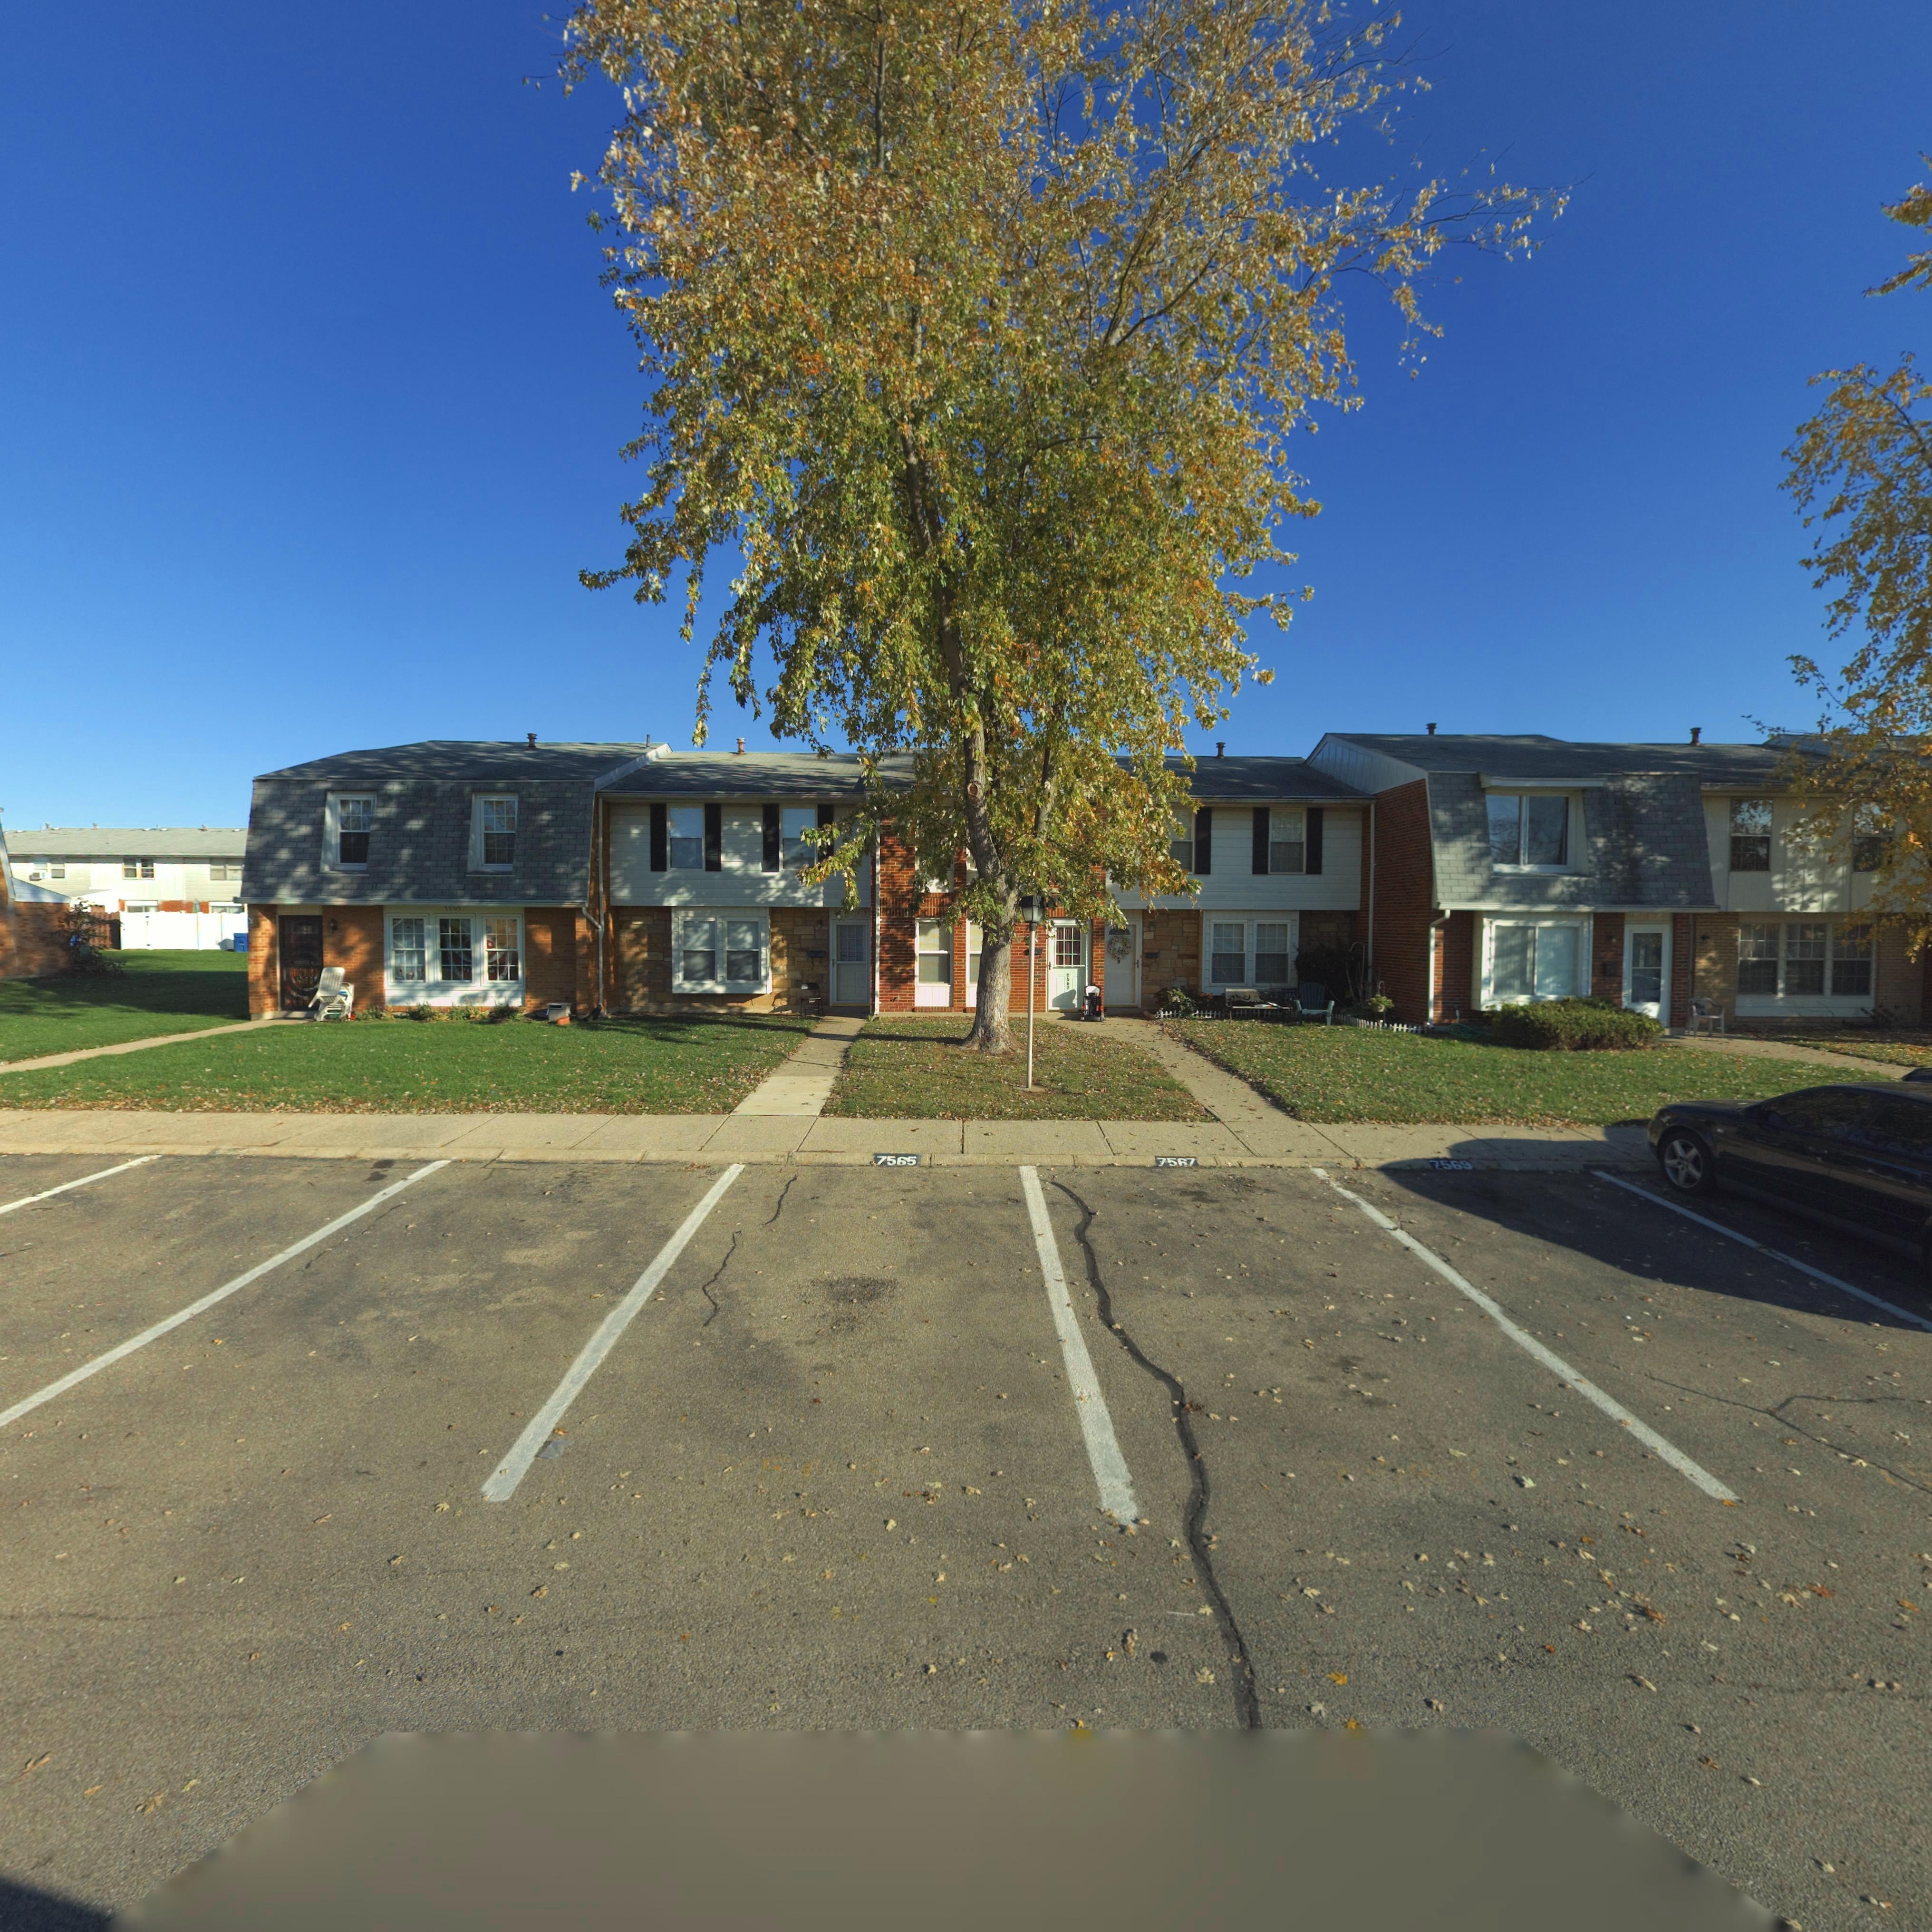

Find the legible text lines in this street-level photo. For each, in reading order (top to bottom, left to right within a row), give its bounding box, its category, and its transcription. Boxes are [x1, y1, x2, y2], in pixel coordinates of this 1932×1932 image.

[444, 905, 462, 912] StreetNumber: 7563
[856, 910, 867, 916] StreetNumber: 65
[1066, 973, 1070, 990] StreetNumber: 7567
[876, 1155, 918, 1166] StreetNumber: 7565
[1156, 1157, 1196, 1168] StreetNumber: 7567
[1428, 1159, 1474, 1170] StreetNumber: 7569